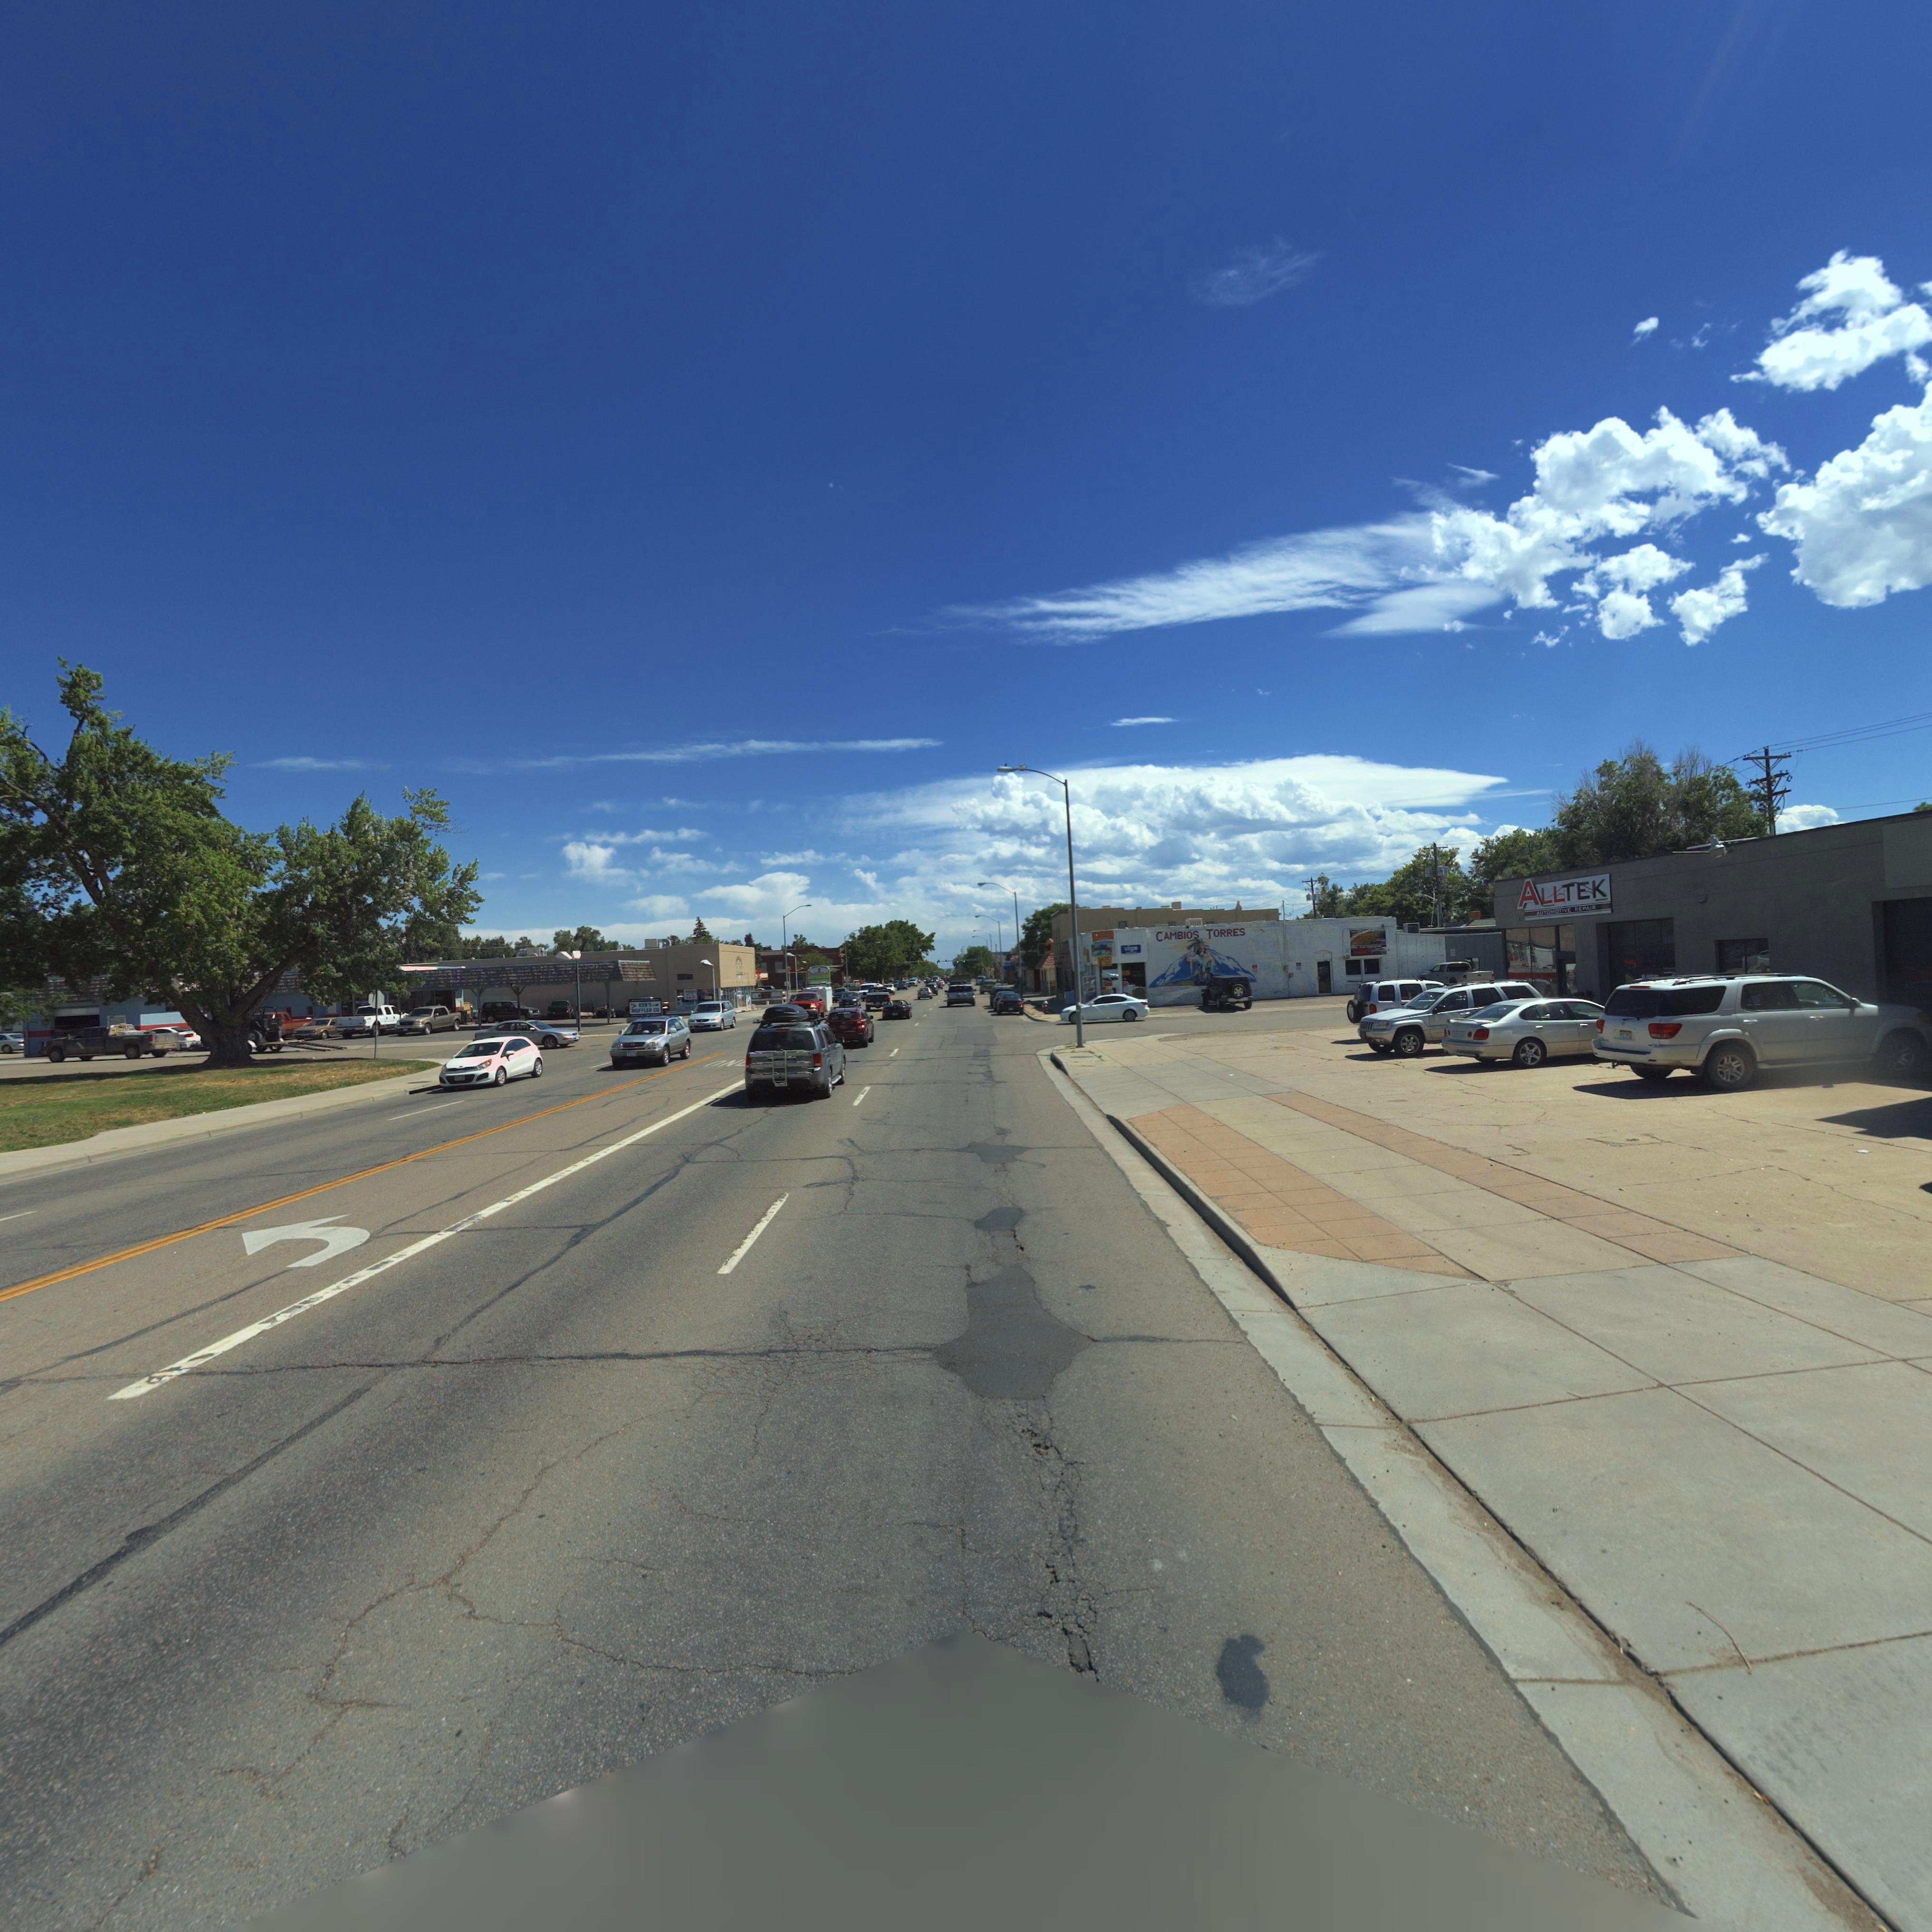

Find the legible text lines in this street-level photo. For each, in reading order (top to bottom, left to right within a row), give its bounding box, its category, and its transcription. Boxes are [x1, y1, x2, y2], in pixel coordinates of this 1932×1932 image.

[1517, 878, 1607, 908] BusinessName: ALLTEK
[1156, 927, 1245, 942] BusinessName: CAMBIOS TORRES
[638, 1002, 651, 1007] BusinessName: KEN'S
[631, 1007, 659, 1013] BusinessName: MUFFLER CO